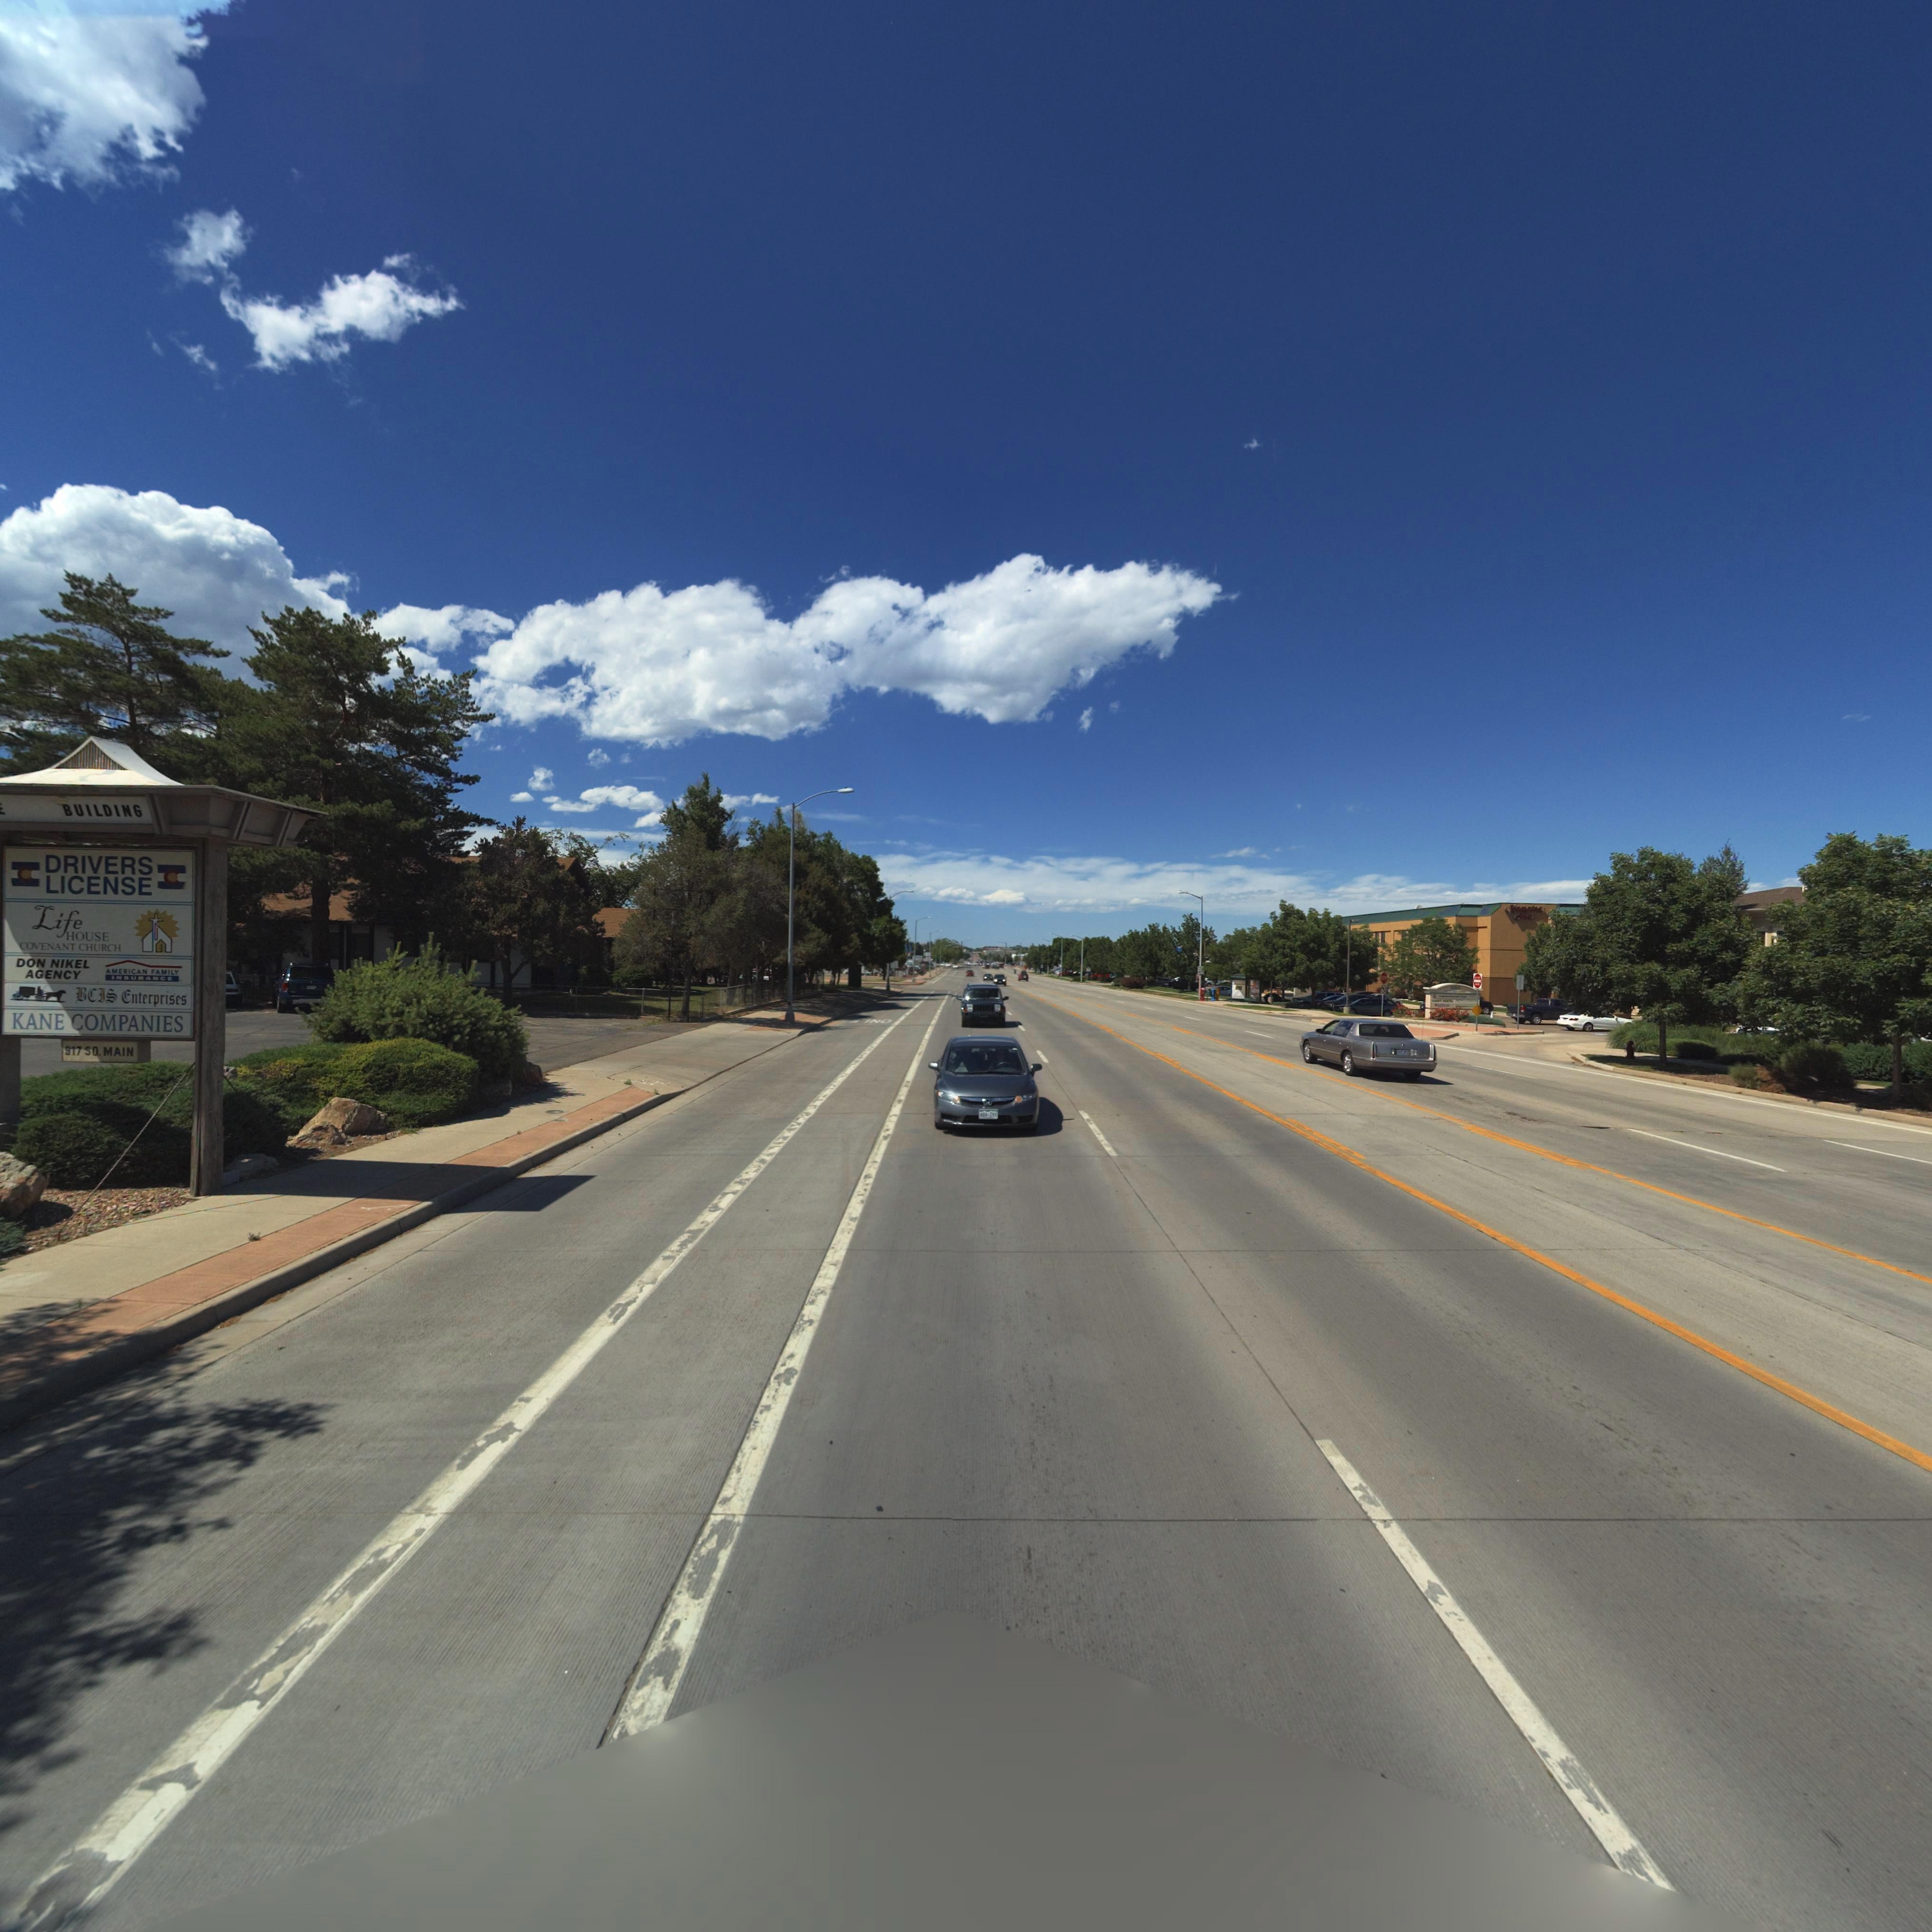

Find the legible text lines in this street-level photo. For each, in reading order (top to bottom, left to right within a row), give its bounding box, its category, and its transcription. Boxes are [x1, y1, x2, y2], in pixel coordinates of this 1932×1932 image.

[45, 854, 153, 875] BusinessName: DRIVERS
[44, 874, 153, 896] BusinessName: LICENSE
[31, 904, 84, 939] BusinessName: Life
[66, 930, 110, 942] BusinessName: HOUSE
[19, 942, 122, 952] BusinessName: COVENANT CHURCH
[105, 968, 179, 975] BusinessName: AMERICAN FAMILY
[111, 975, 173, 981] BusinessName: INSURANCE
[1450, 985, 1460, 990] StreetNumber: 900
[75, 986, 187, 1007] BusinessName: BCIS Enterprises
[11, 1012, 183, 1032] BusinessName: KANE COMPANIES
[64, 1045, 82, 1056] StreetNumber: 917
[84, 1045, 134, 1057] StreetName: SO* MAIN